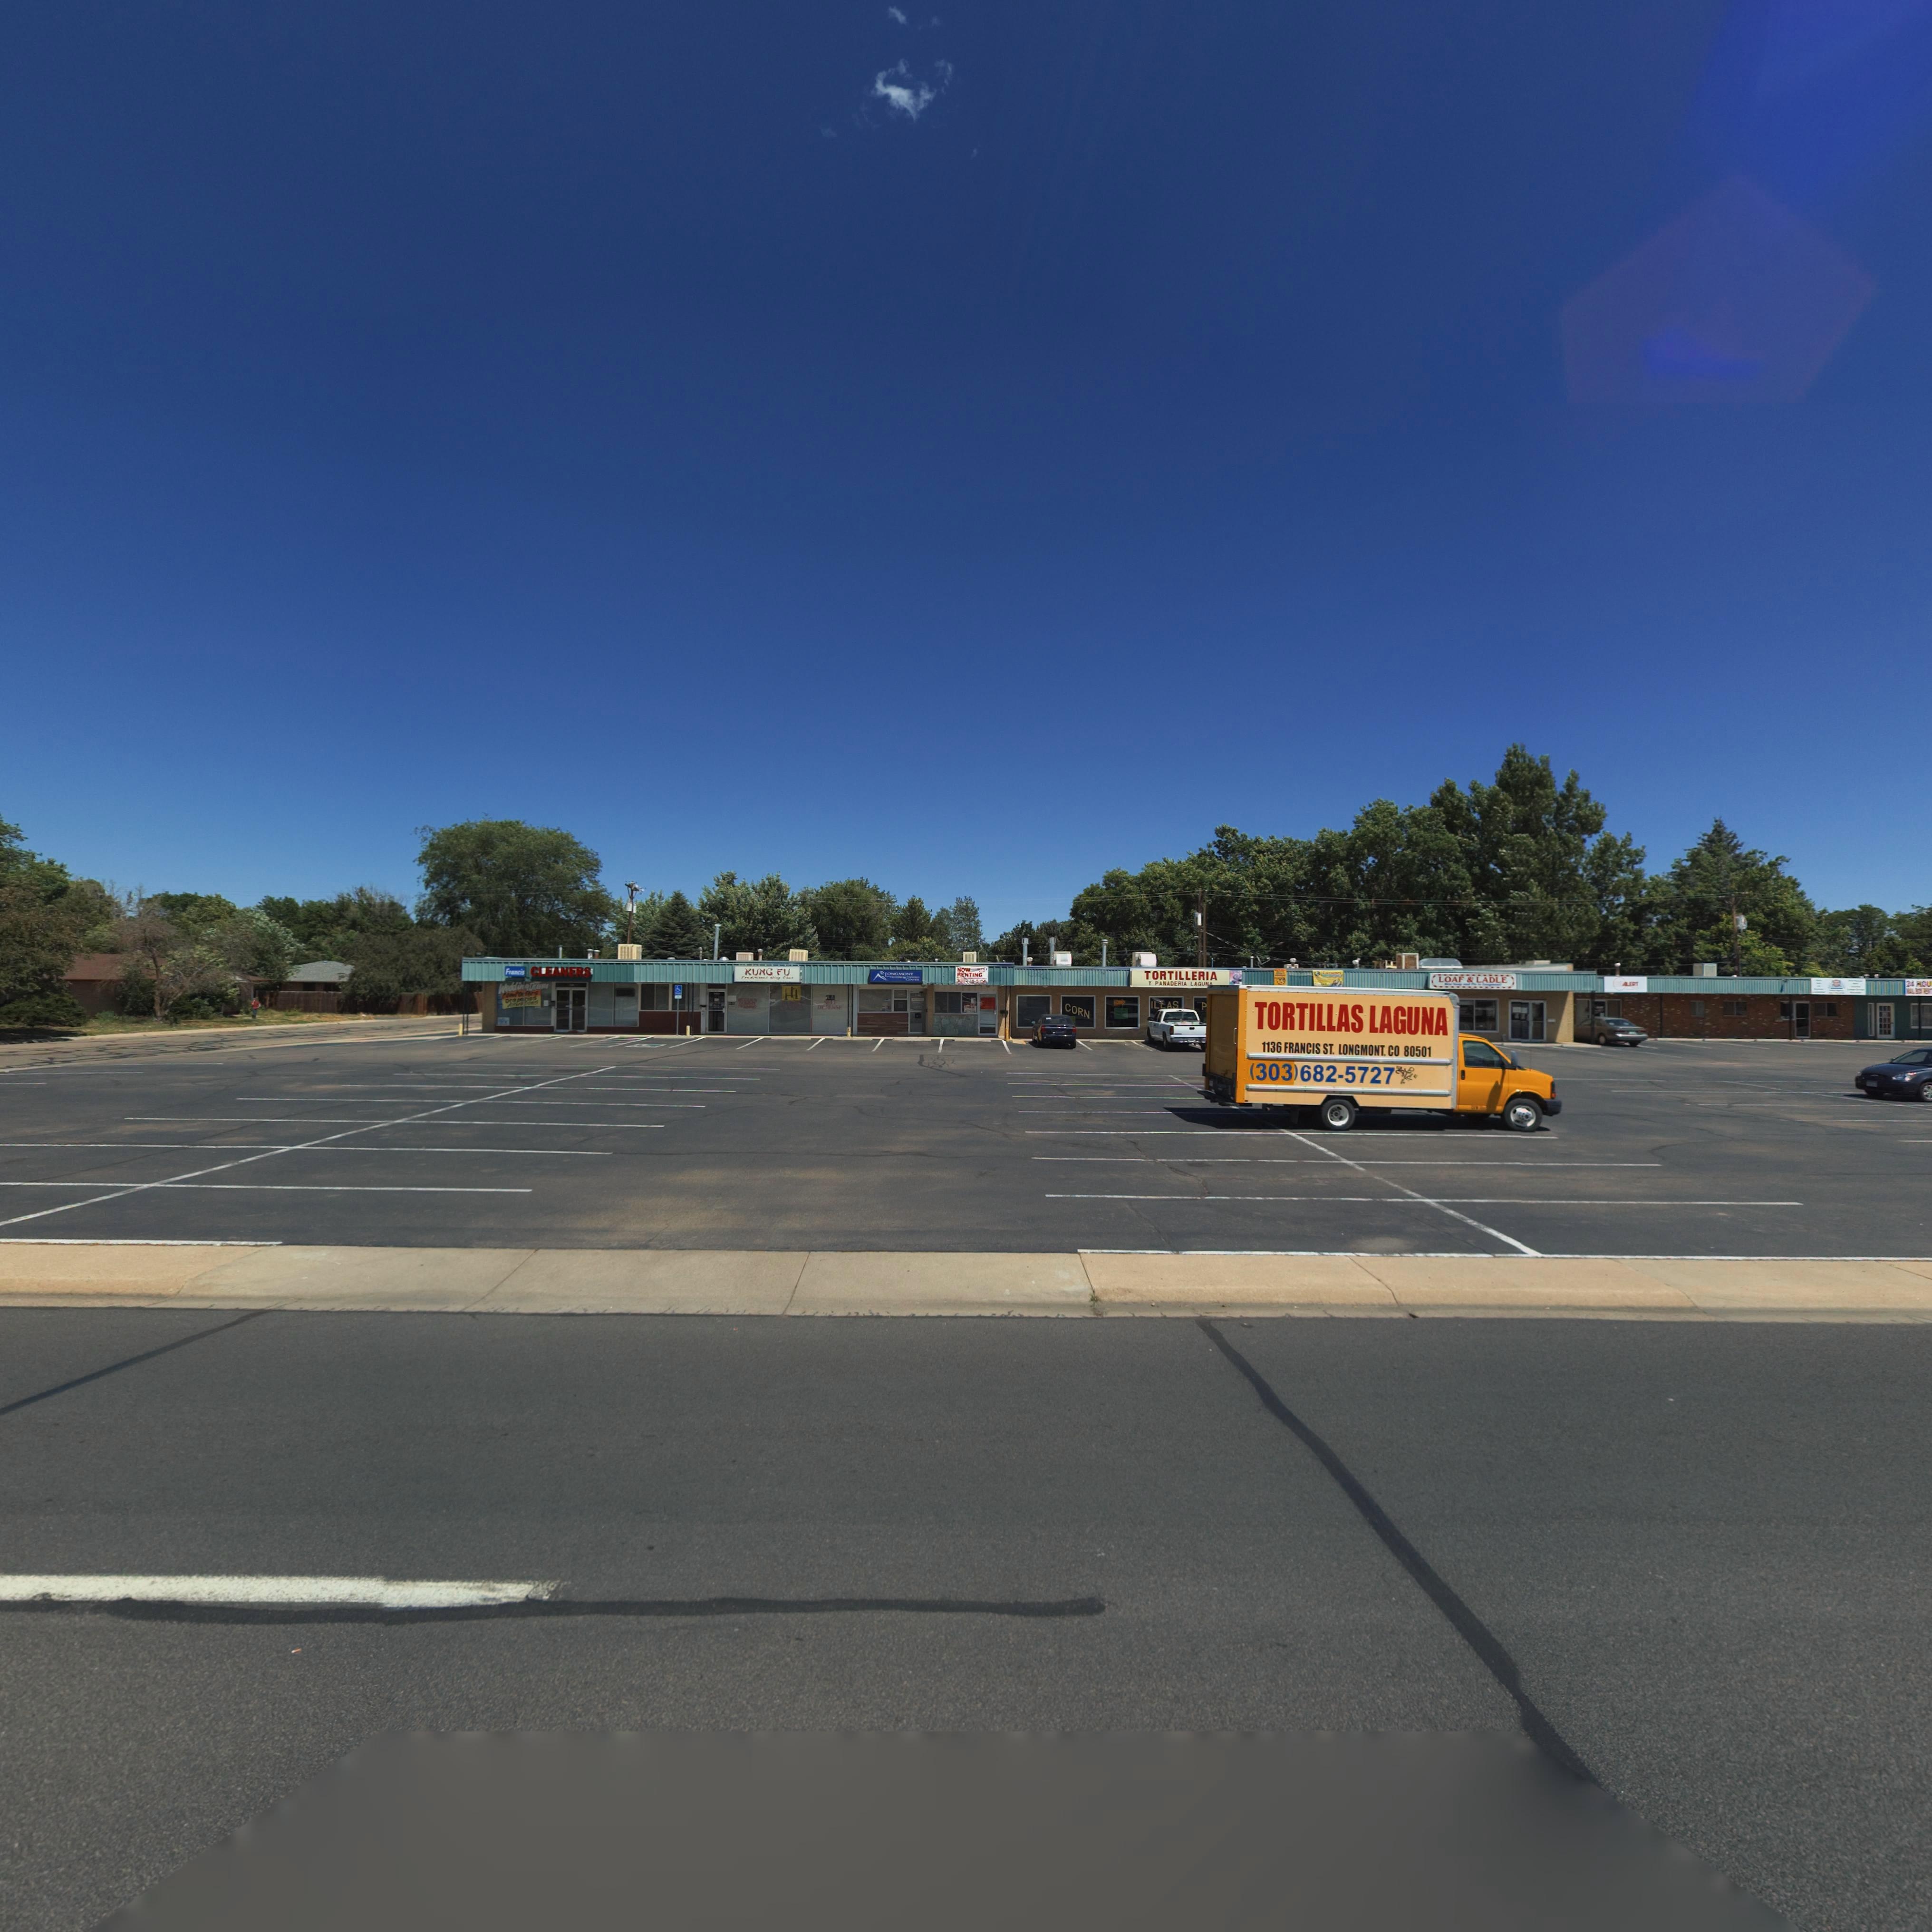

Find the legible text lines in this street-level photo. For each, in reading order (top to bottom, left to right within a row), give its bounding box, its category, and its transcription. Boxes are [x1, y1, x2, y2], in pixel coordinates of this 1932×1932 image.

[505, 968, 525, 975] BusinessName: Fra*cis
[530, 966, 591, 977] BusinessName: CLEANERS
[741, 976, 793, 980] BusinessName: Tr********l W*ng Ch**
[744, 967, 790, 976] BusinessName: KUNG FU
[885, 972, 913, 977] BusinessName: LONG**MONT
[1144, 971, 1217, 980] BusinessName: TORTILLERIA
[1438, 976, 1507, 983] BusinessName: LOAF & LADLE
[1148, 981, 1212, 986] BusinessName: Y PANADERIA LAGUN*
[1622, 981, 1639, 986] BusinessName: ALERT
[1906, 980, 1932, 987] BusinessName: 24 HOU
[1906, 988, 1931, 994] BusinessName: ***L B*** RE*